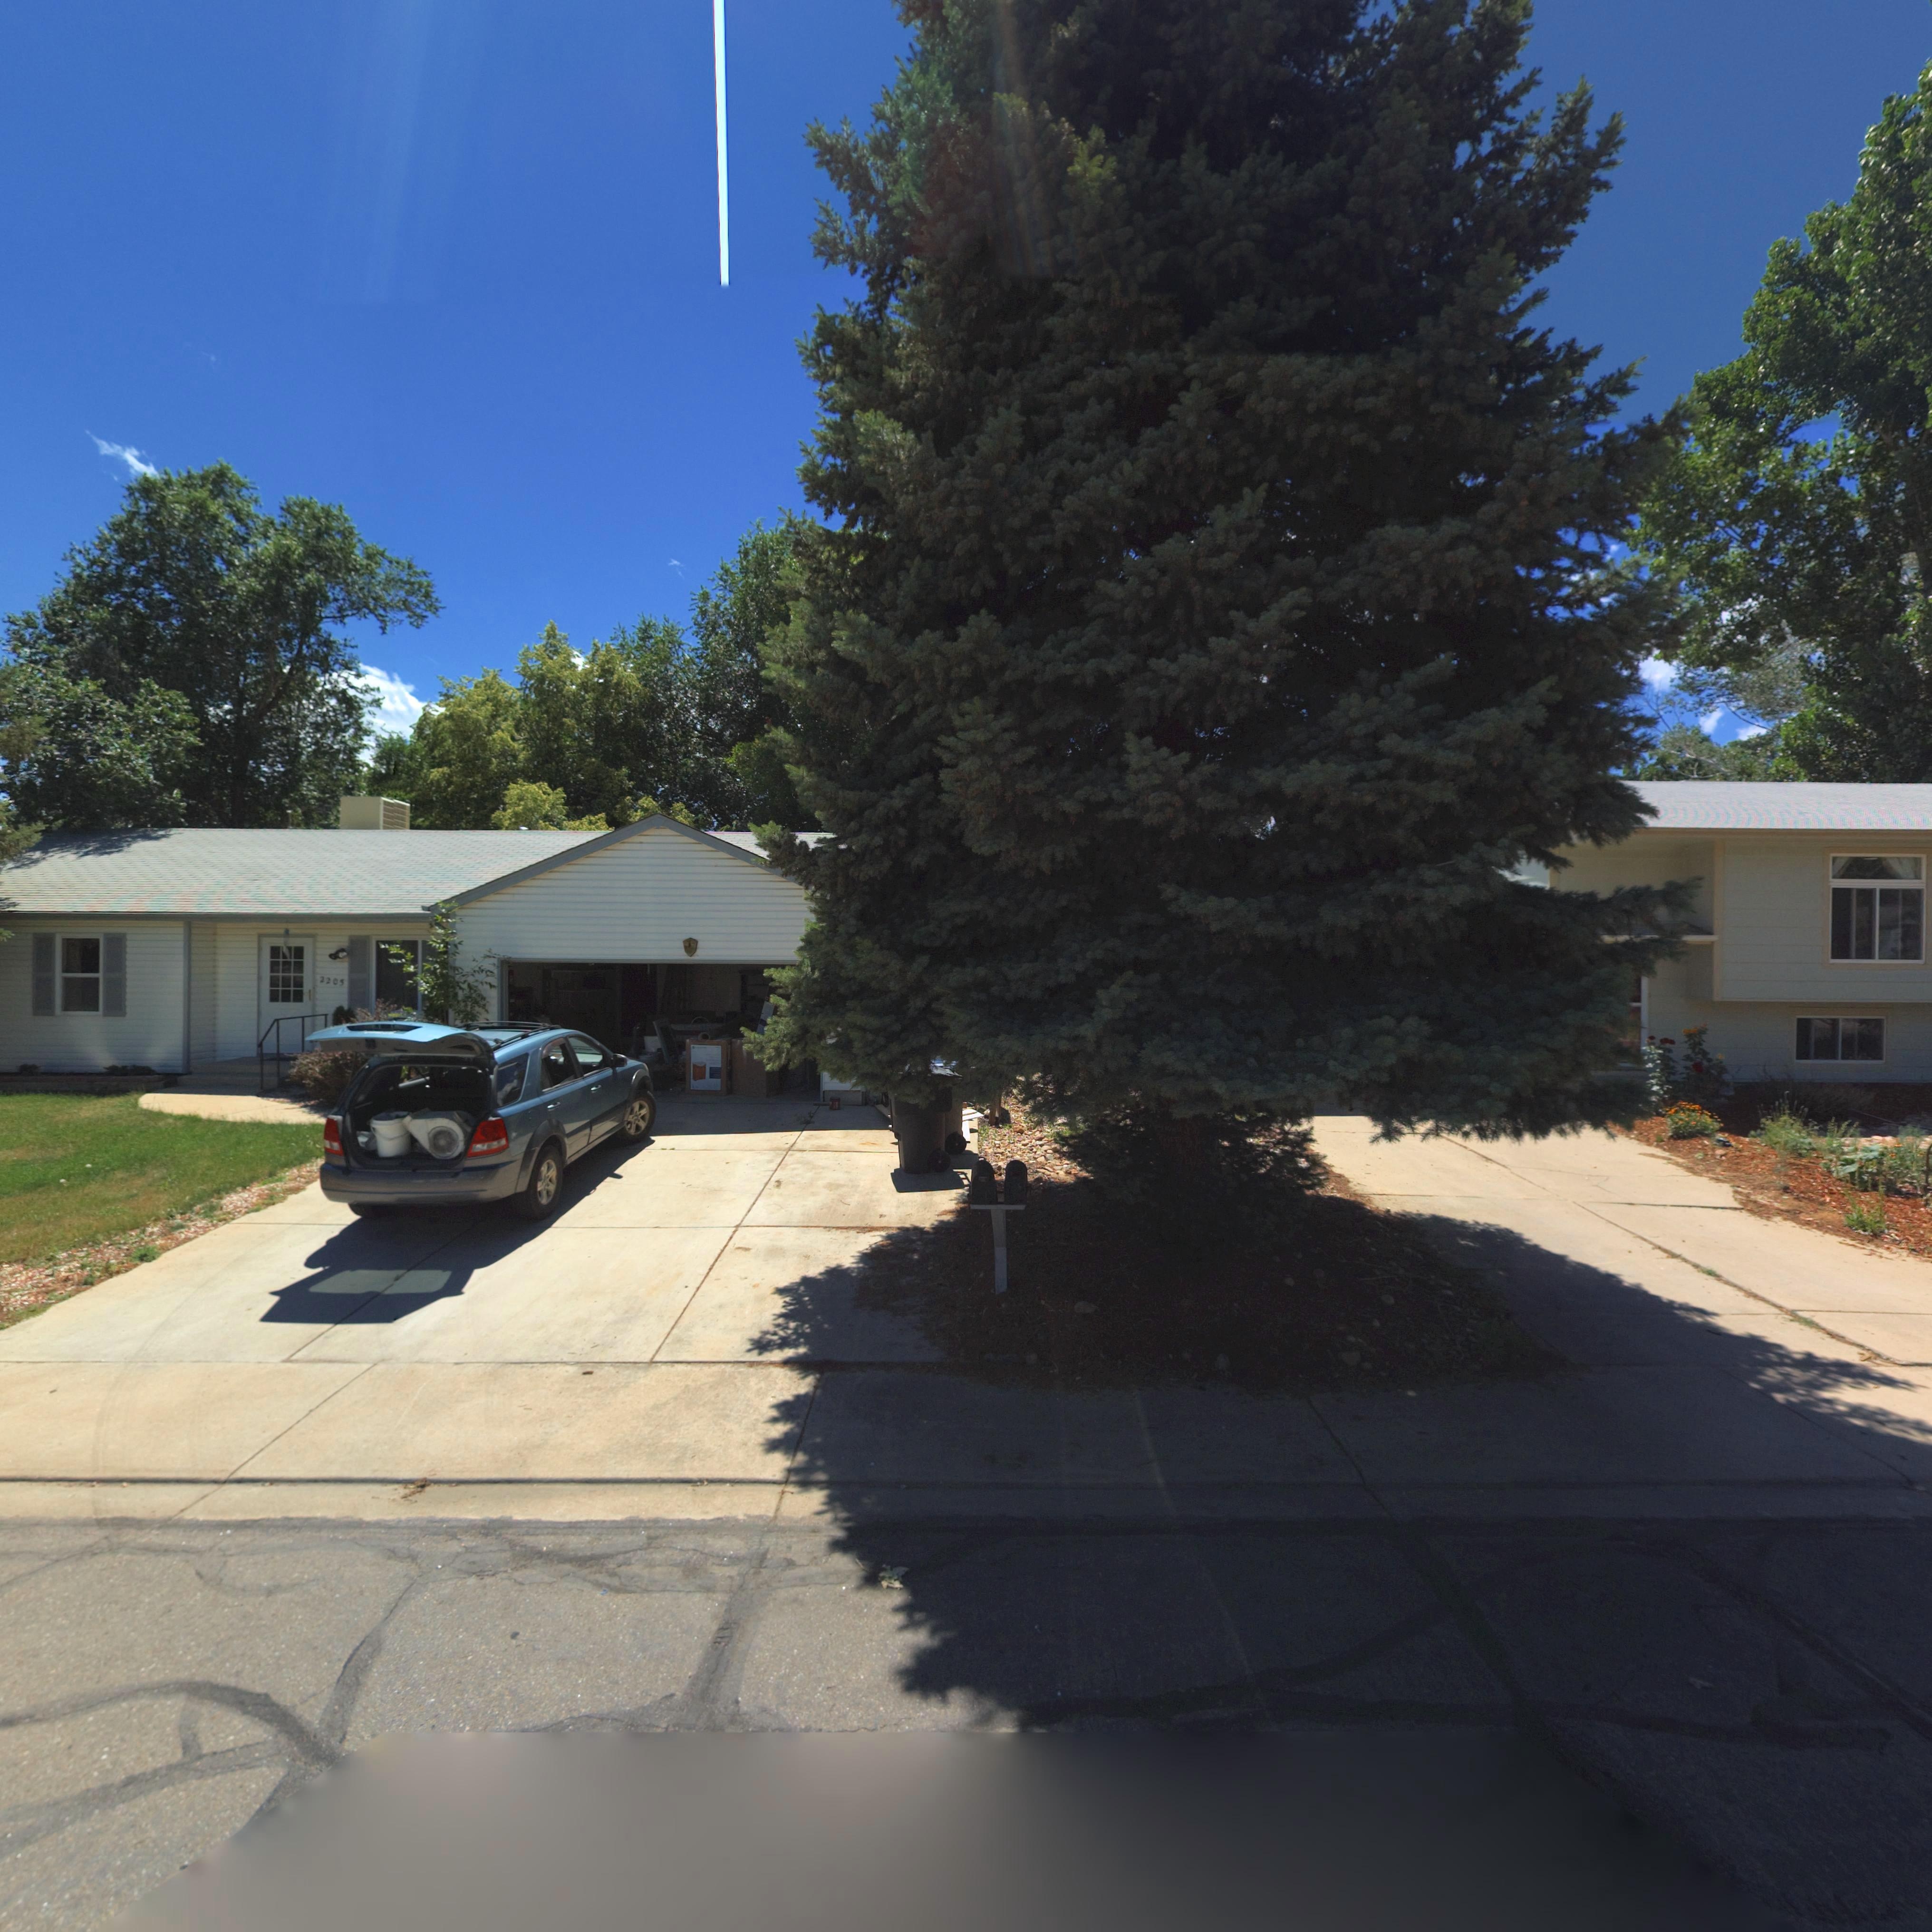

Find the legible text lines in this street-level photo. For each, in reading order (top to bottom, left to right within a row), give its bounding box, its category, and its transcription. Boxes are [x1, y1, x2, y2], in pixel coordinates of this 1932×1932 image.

[319, 975, 345, 987] StreetNumber: 2205